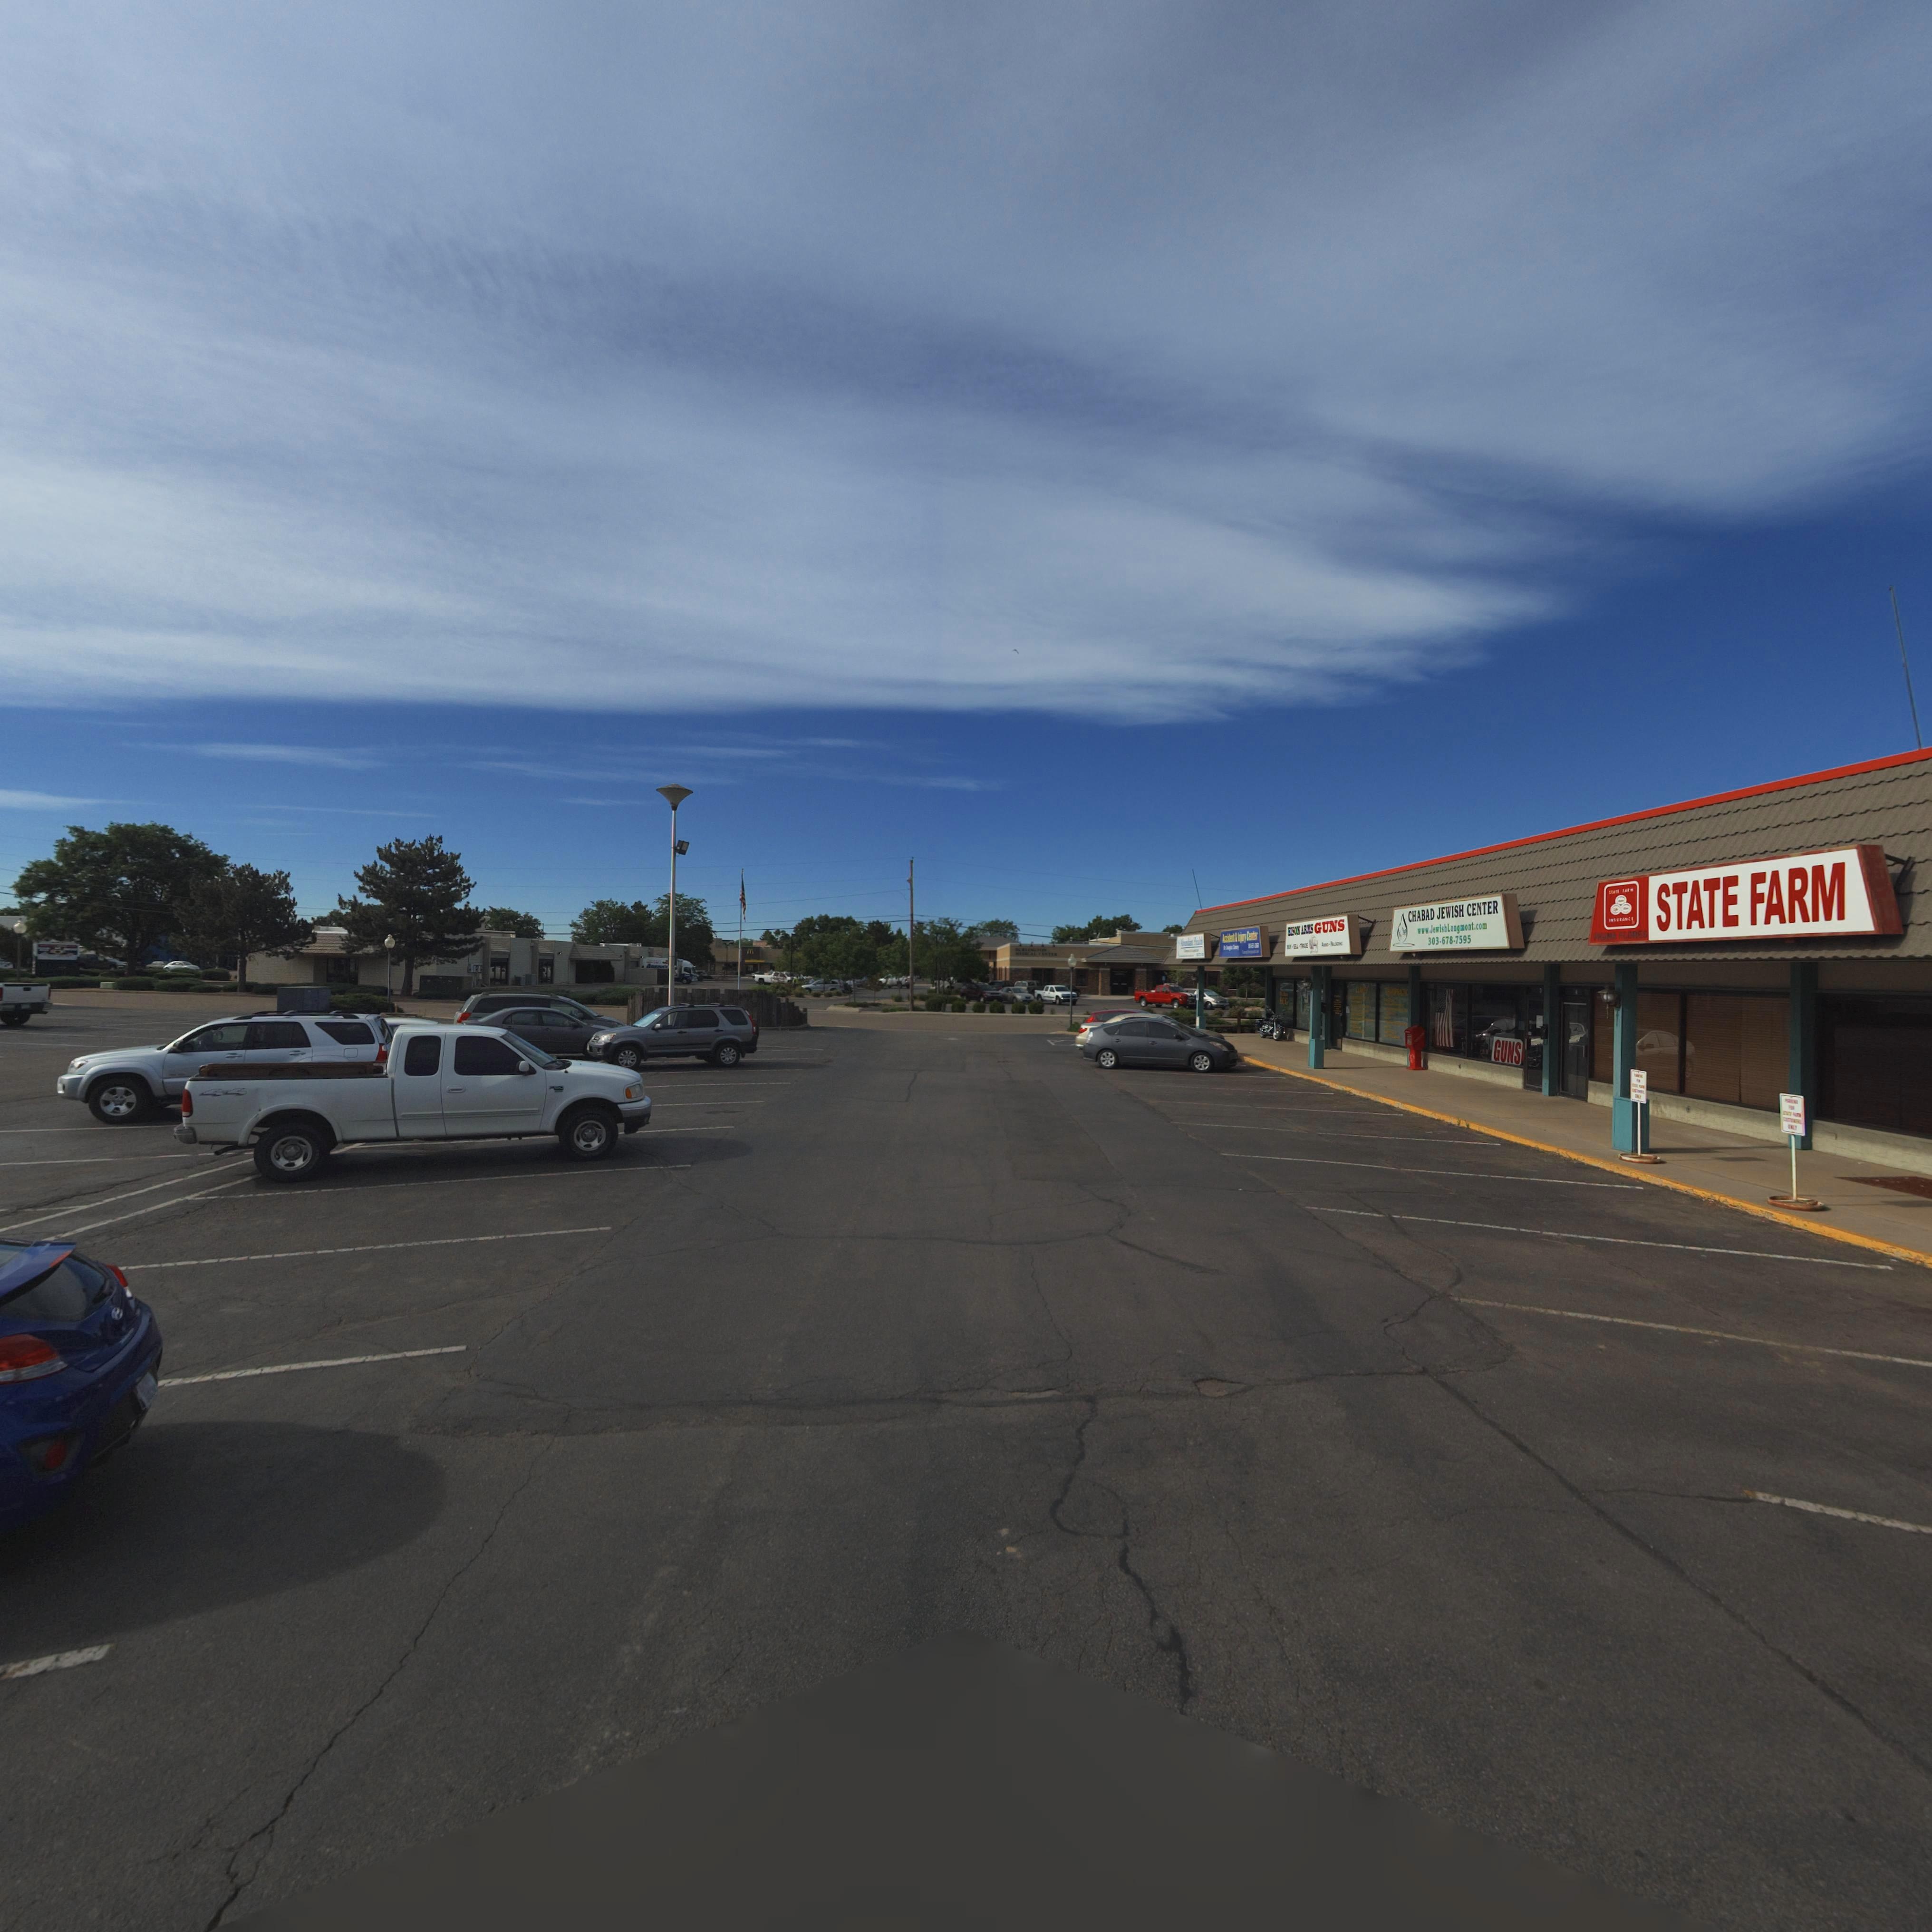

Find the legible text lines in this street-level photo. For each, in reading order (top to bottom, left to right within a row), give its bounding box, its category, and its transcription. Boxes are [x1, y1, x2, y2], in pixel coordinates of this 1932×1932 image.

[1655, 860, 1846, 932] BusinessName: STATE FARM
[1407, 899, 1499, 922] BusinessName: CHABAD JEWISH CENTER
[1287, 918, 1344, 937] BusinessName: BISON ARMS GUNS
[1180, 936, 1203, 947] BusinessName: ******** H****
[1222, 930, 1258, 944] BusinessName: A***dent * Imjury Center
[1015, 951, 1057, 956] BusinessName: ****CAL C*NT**